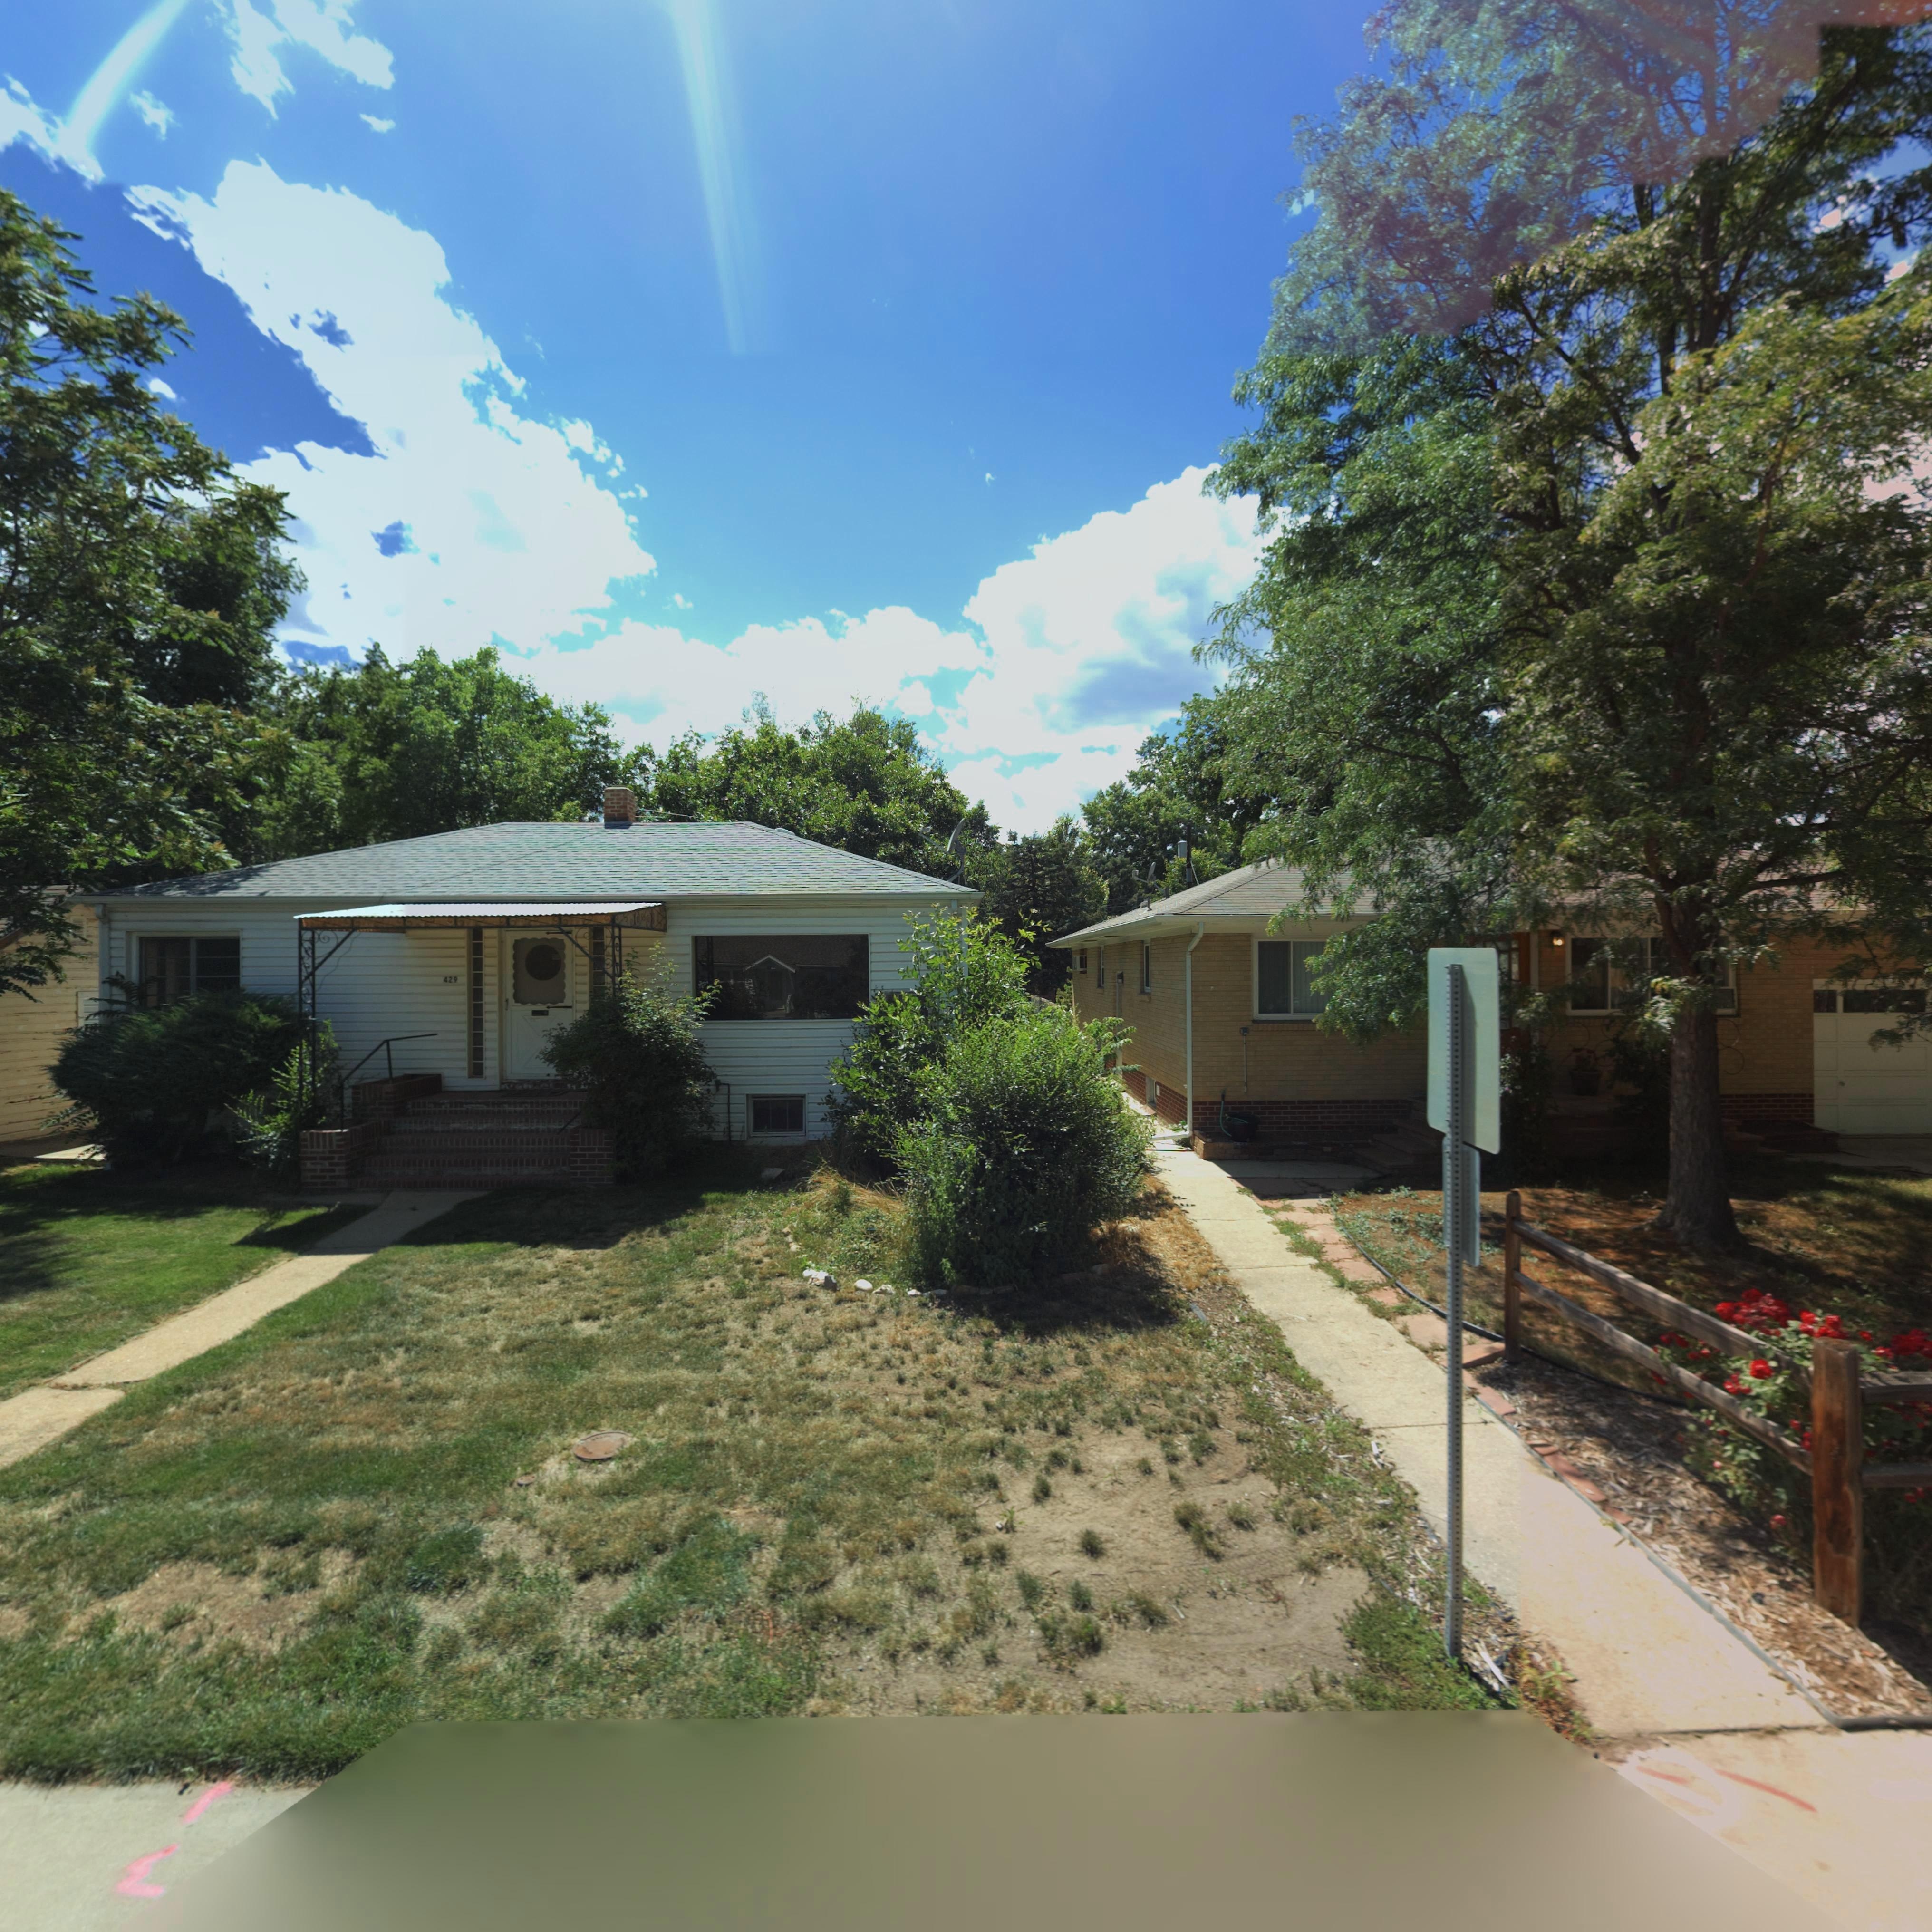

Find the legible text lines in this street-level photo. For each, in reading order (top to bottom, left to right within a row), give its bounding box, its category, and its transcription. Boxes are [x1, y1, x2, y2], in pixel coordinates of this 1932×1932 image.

[443, 976, 457, 983] StreetNumber: 429